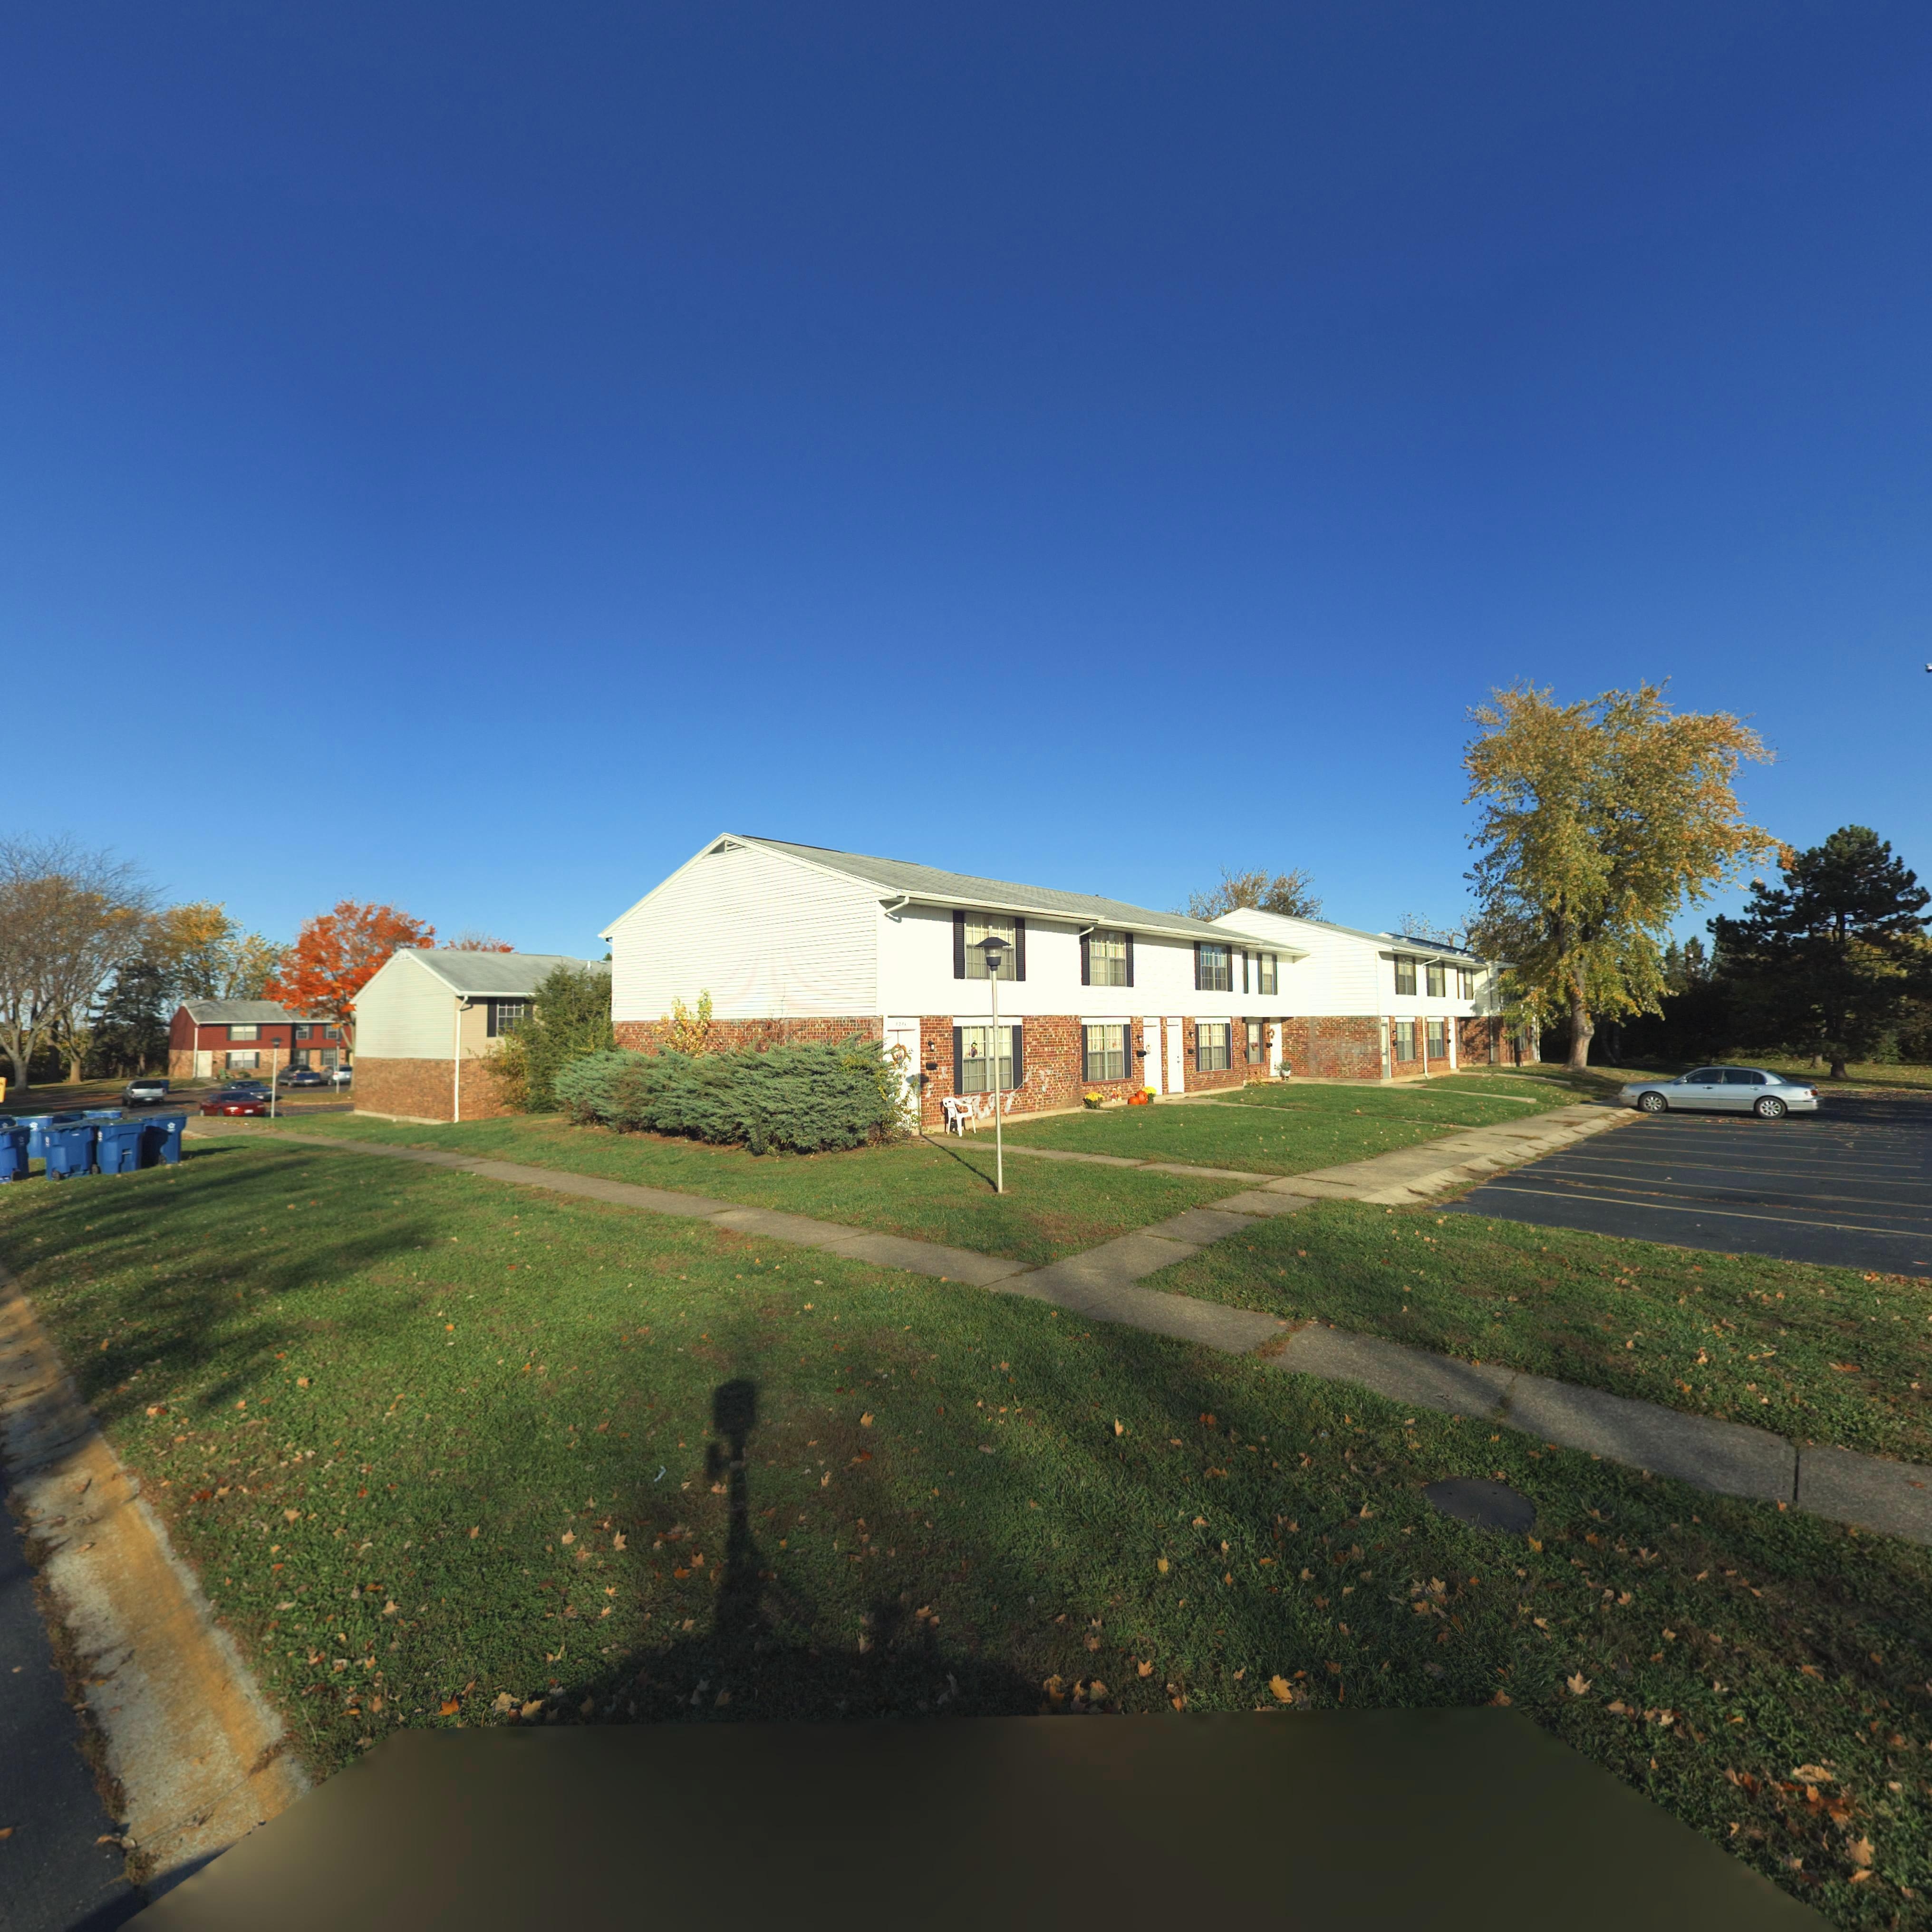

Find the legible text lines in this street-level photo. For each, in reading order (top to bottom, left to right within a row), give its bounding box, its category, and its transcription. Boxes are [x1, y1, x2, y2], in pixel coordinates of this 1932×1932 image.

[895, 1021, 907, 1027] StreetNumber: 8281